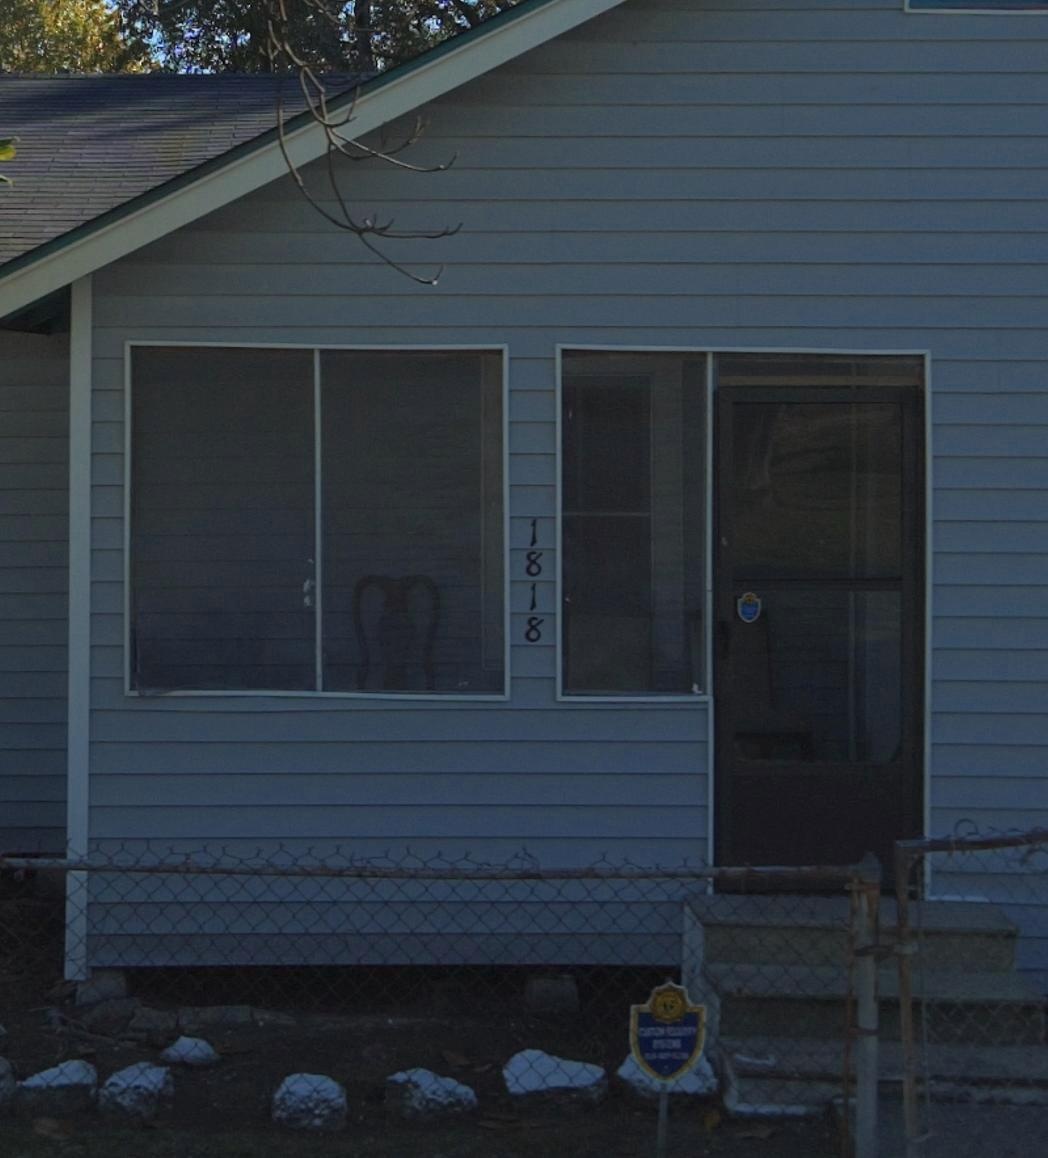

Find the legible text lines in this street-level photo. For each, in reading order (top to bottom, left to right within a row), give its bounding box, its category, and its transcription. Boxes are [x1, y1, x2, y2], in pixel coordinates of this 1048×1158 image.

[524, 517, 544, 643] StreetNumber: 1818